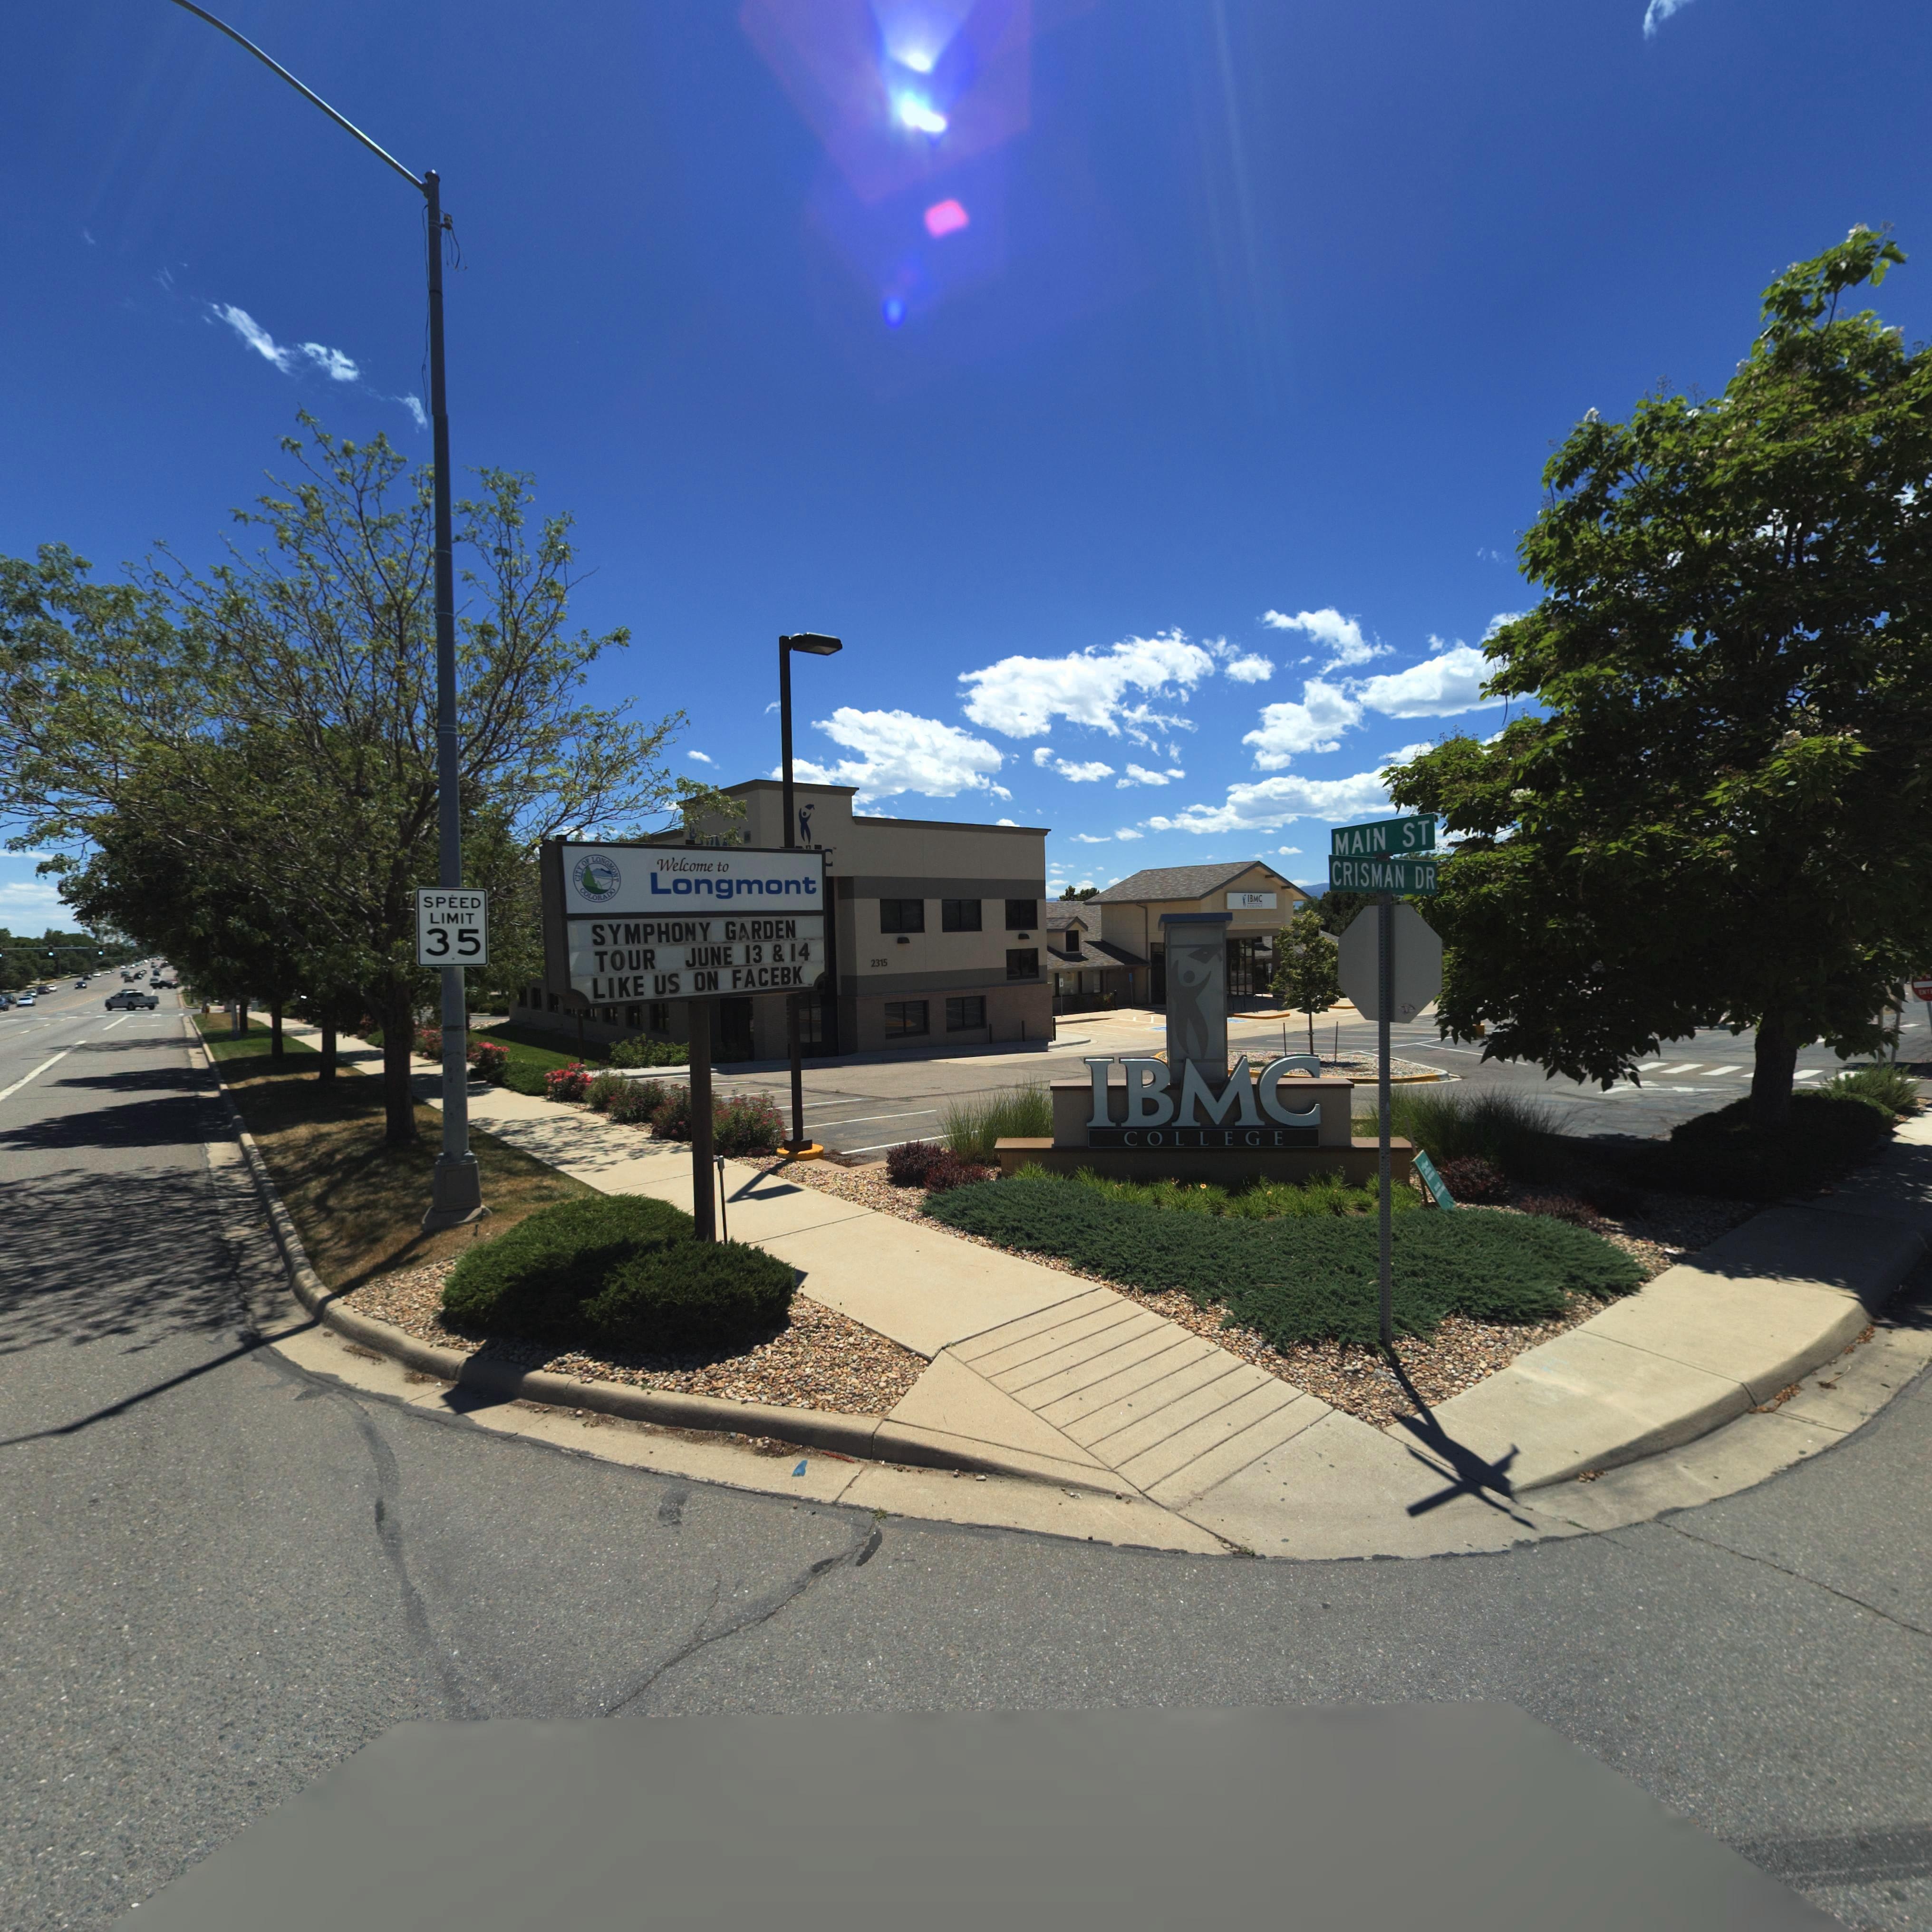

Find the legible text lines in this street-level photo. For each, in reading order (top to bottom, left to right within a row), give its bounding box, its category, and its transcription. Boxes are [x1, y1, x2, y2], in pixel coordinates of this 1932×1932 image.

[1335, 819, 1430, 855] StreetName: MAIN ST
[1332, 860, 1435, 889] StreetName: CRISMAN DR
[1246, 903, 1263, 908] BusinessName: **L**G*
[1247, 894, 1262, 902] BusinessName: IBMC
[871, 958, 888, 967] StreetNumber: 2315
[1084, 1056, 1322, 1127] BusinessName: IBMC
[1123, 1130, 1283, 1146] BusinessName: COLLEGE